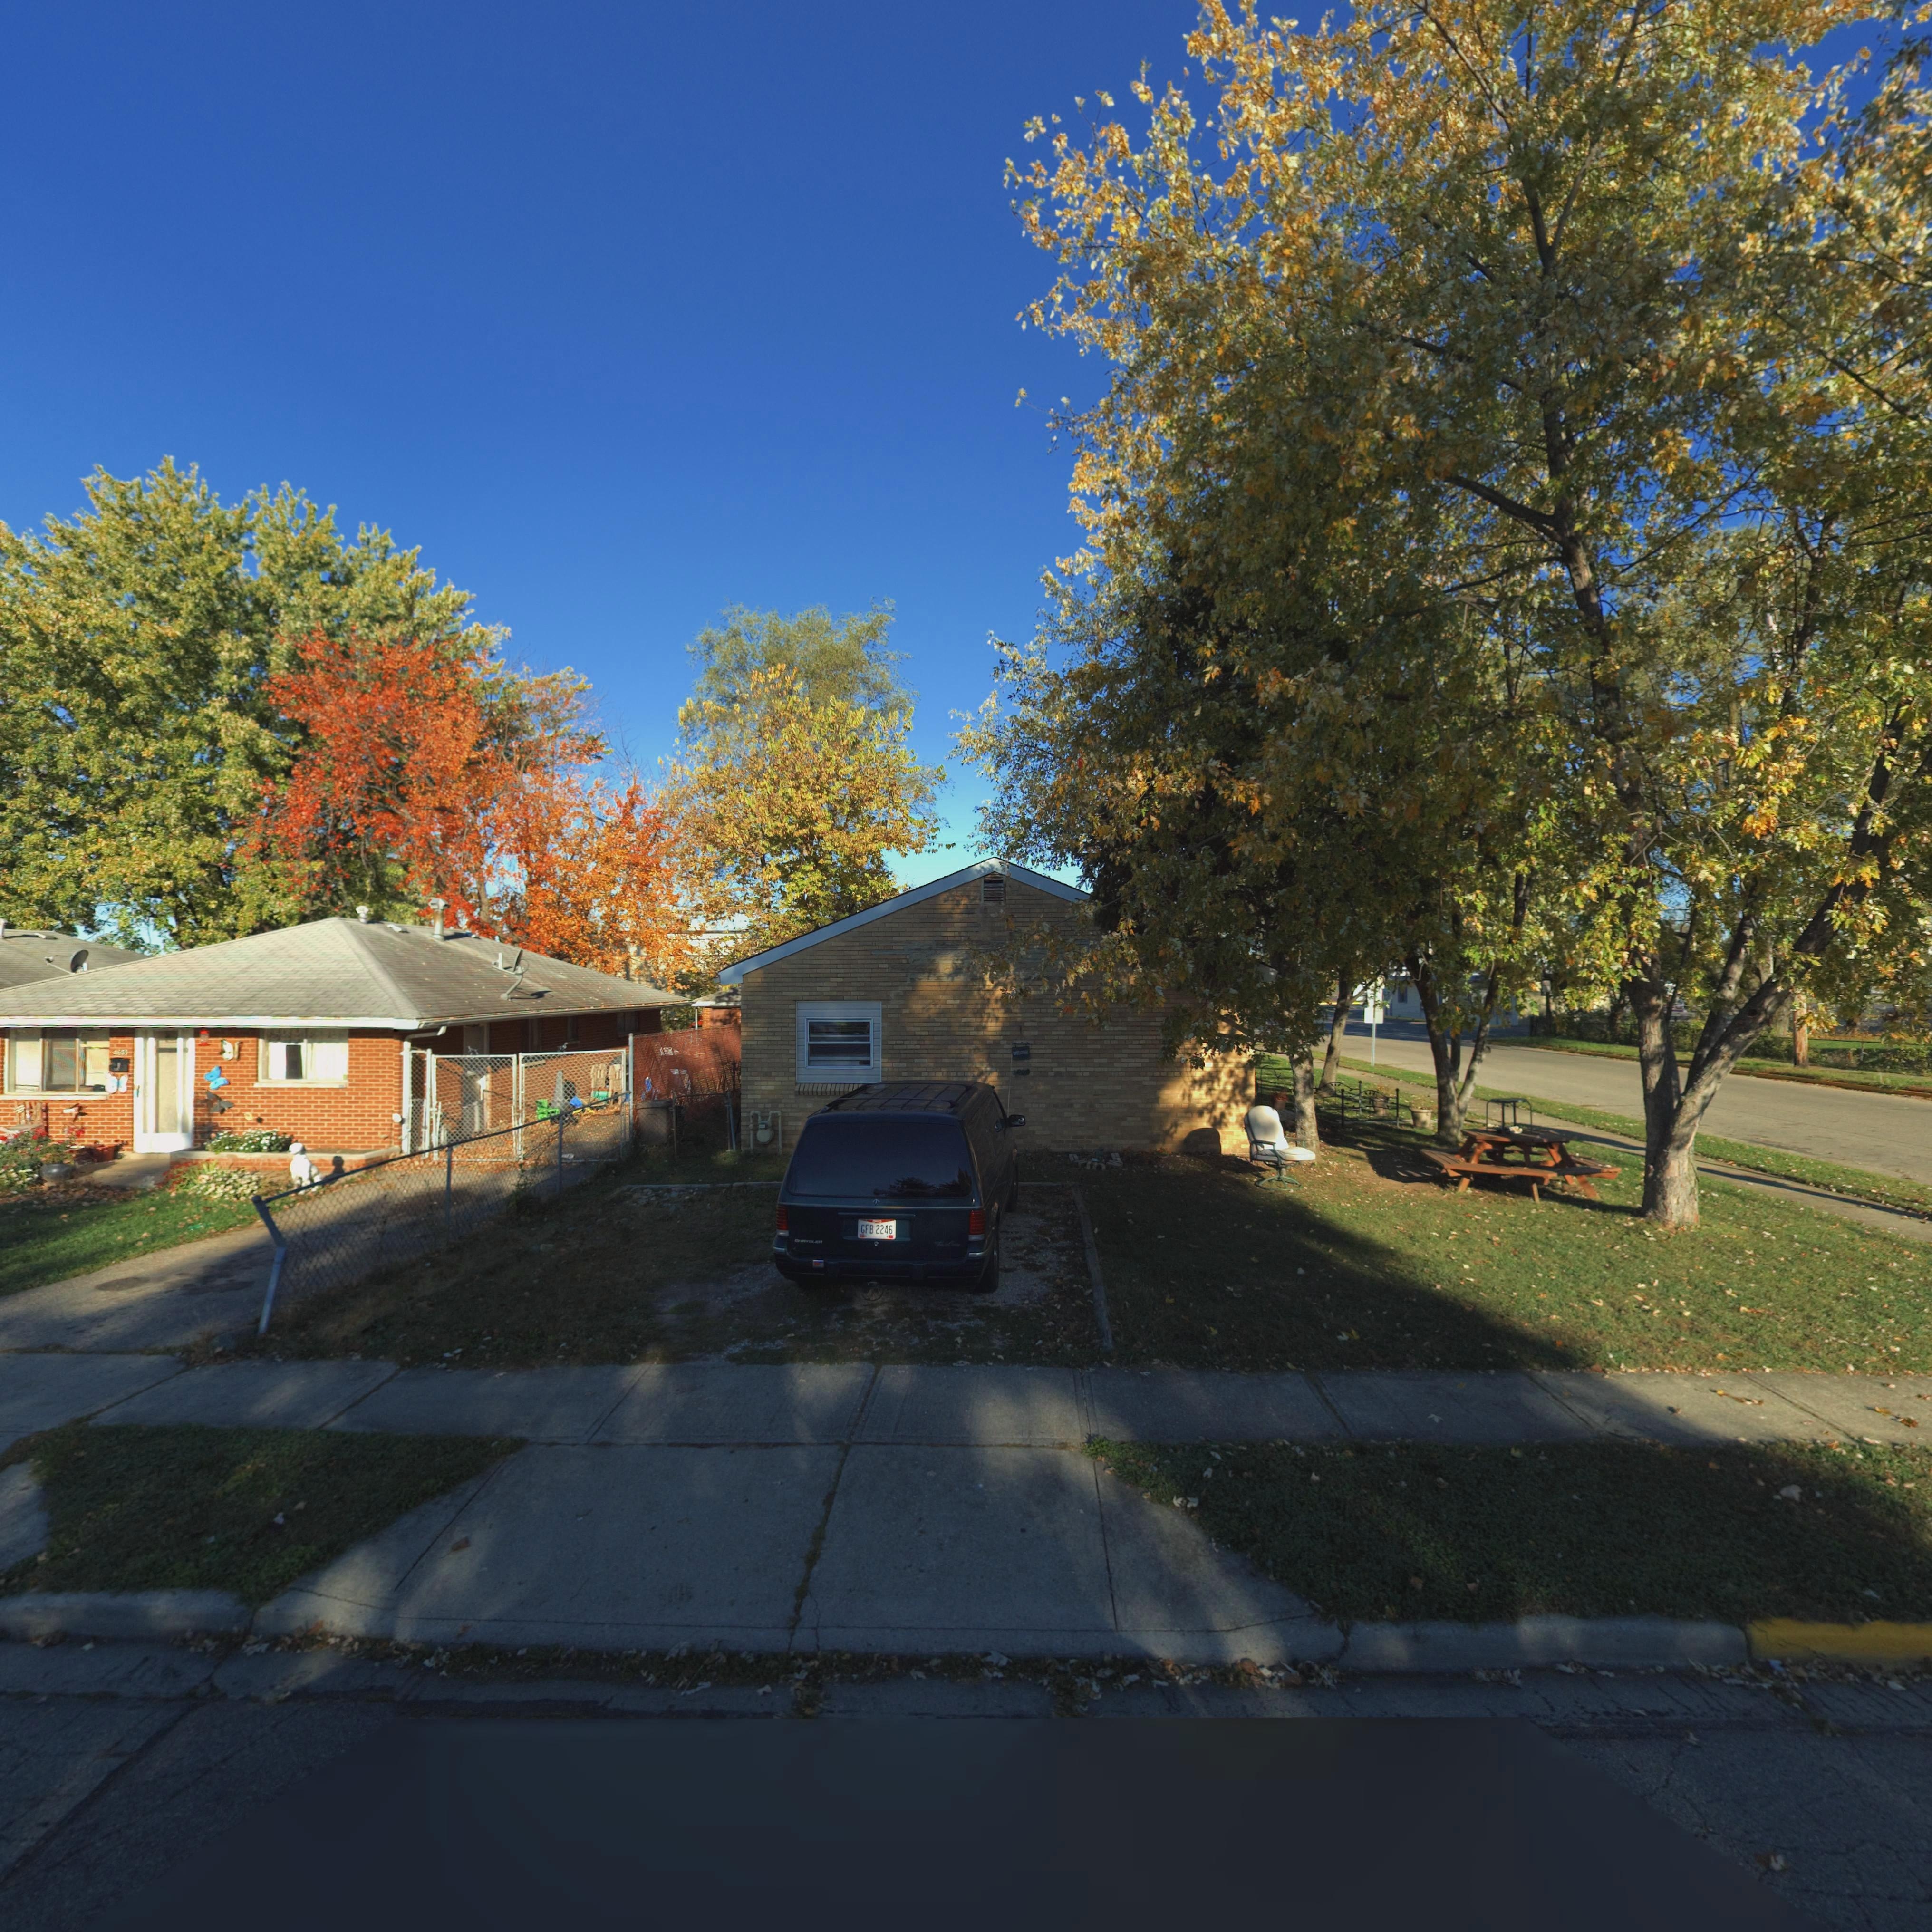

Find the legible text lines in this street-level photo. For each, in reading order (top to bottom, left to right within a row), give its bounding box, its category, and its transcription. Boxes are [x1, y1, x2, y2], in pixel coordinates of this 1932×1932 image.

[113, 1049, 128, 1055] StreetNumber: 4603